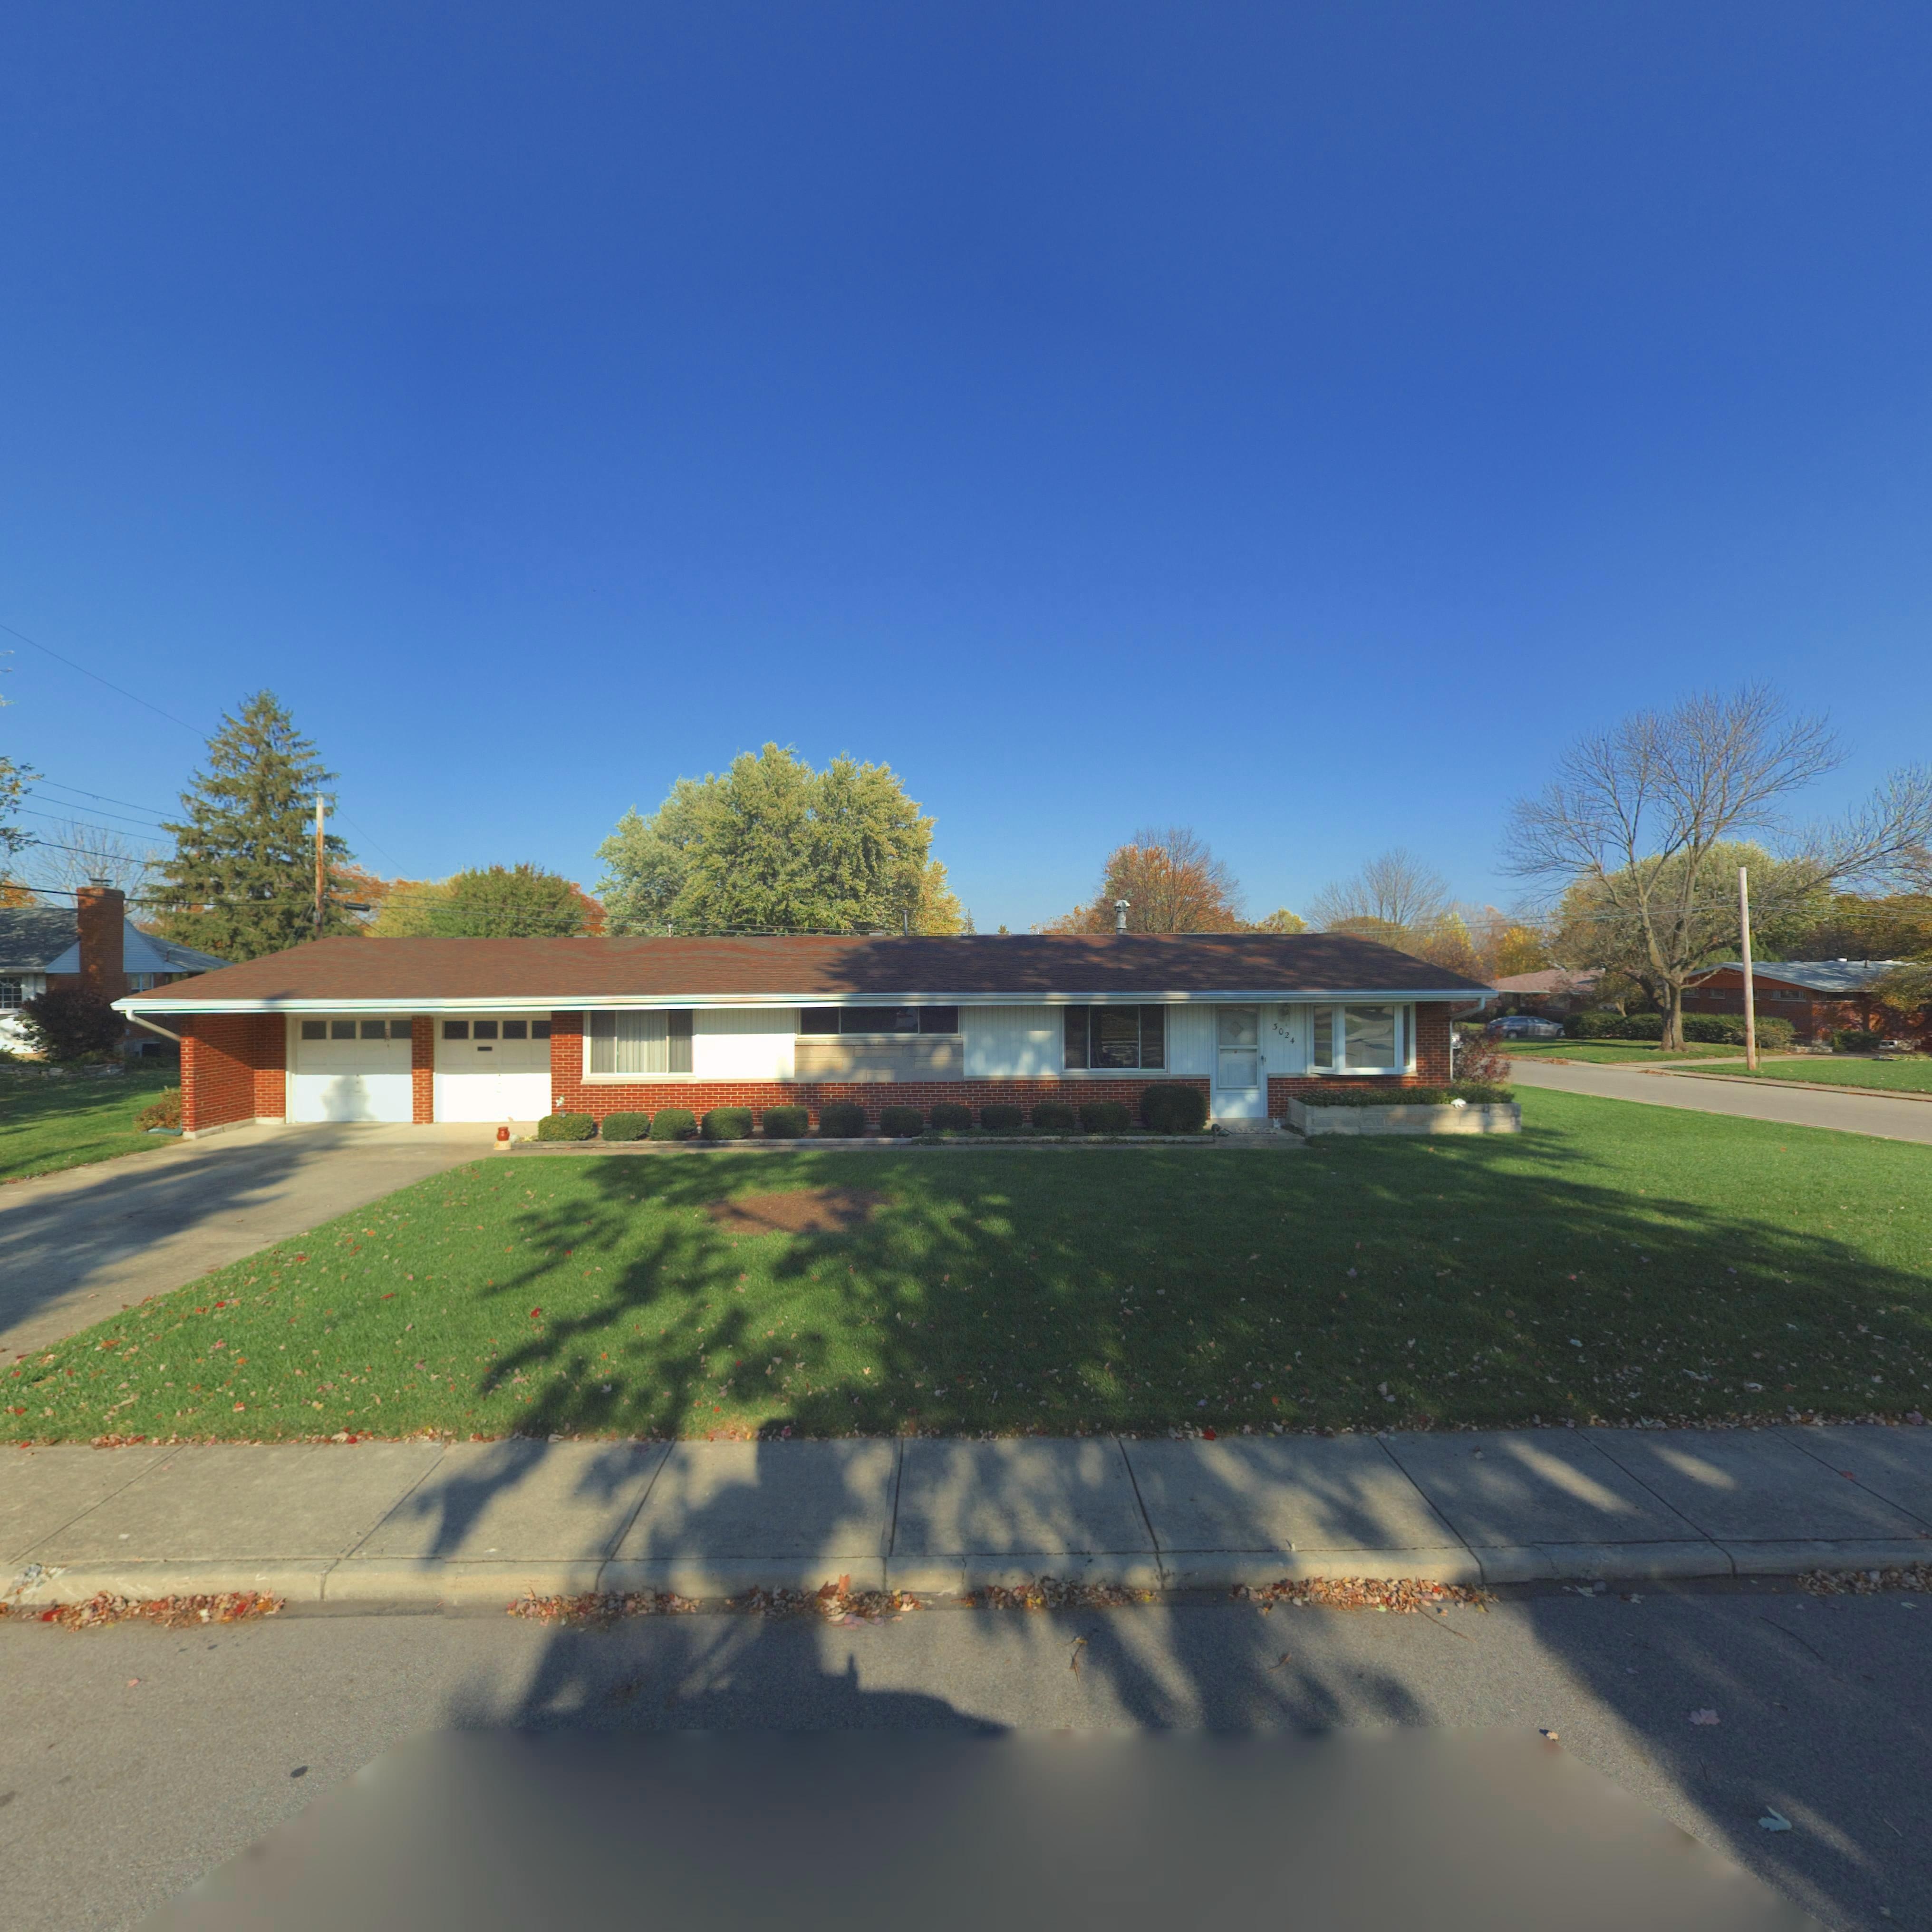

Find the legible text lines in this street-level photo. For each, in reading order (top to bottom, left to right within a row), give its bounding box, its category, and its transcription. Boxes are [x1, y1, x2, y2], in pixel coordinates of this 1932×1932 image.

[1271, 1023, 1295, 1045] StreetNumber: 3024